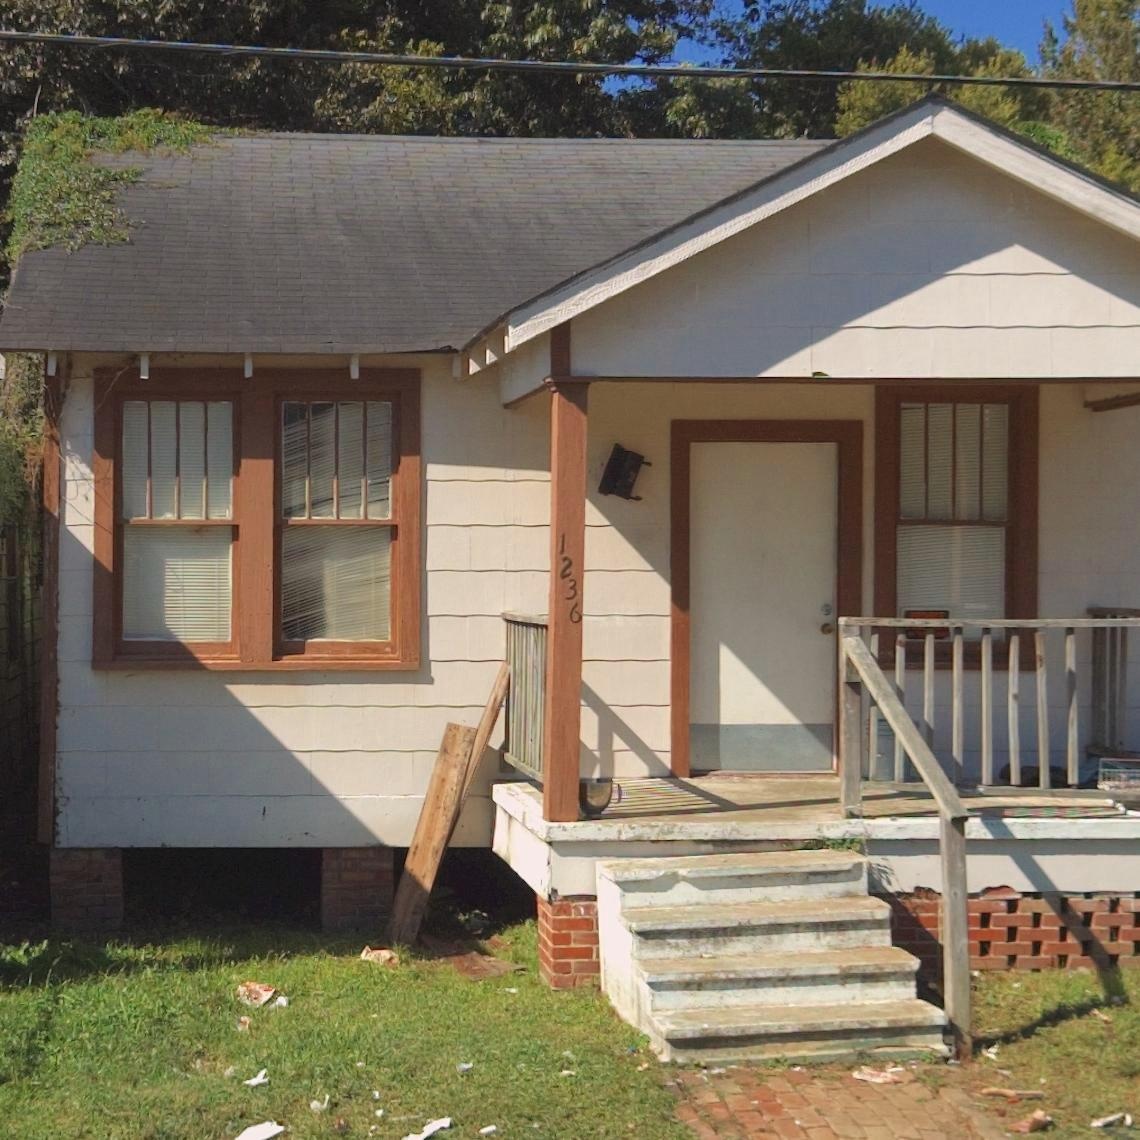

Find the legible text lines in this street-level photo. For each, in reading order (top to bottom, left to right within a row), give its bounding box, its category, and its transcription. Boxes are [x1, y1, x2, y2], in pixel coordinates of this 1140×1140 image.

[556, 528, 586, 628] StreetNumber: 1236